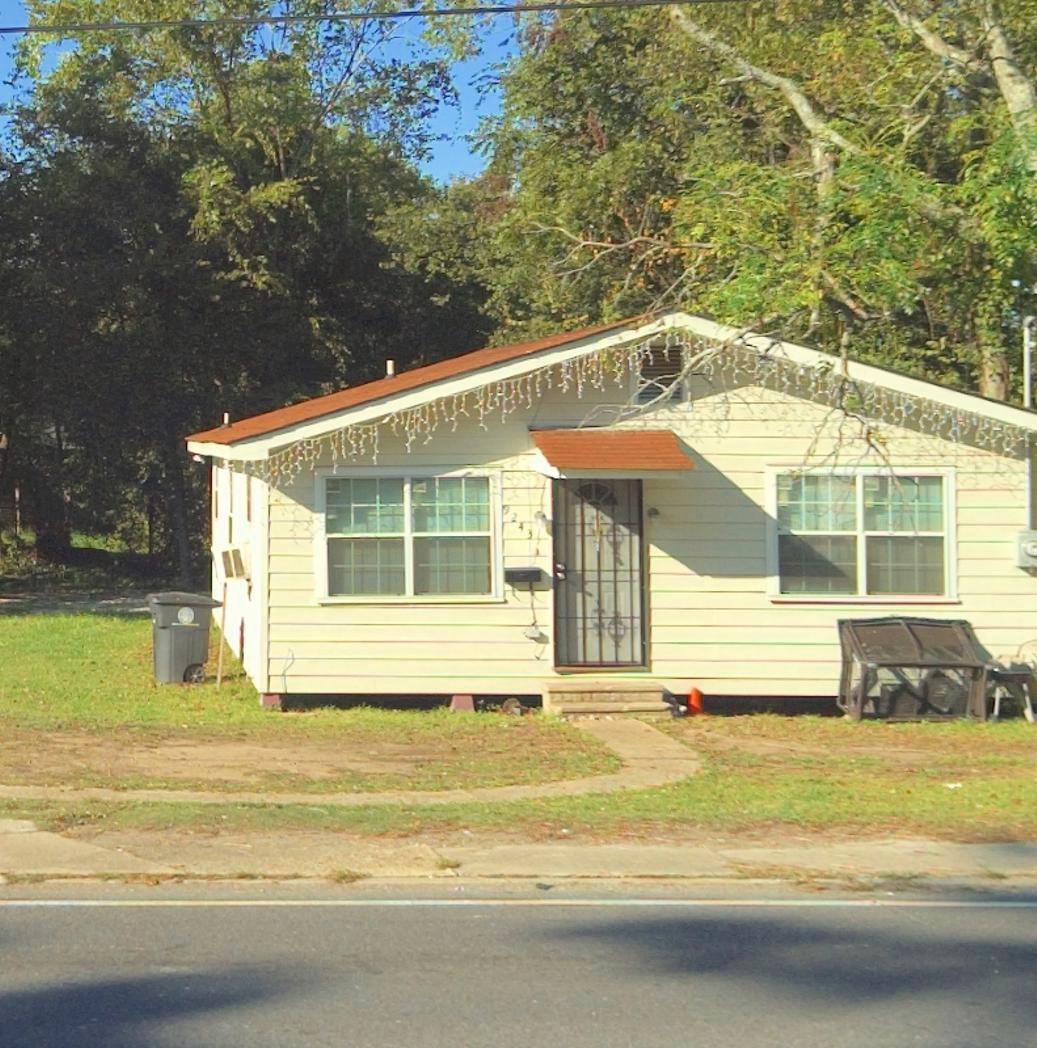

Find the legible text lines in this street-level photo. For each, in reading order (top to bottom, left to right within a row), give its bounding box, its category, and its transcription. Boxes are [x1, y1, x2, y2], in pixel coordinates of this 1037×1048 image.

[498, 497, 538, 549] StreetNumber: 9243